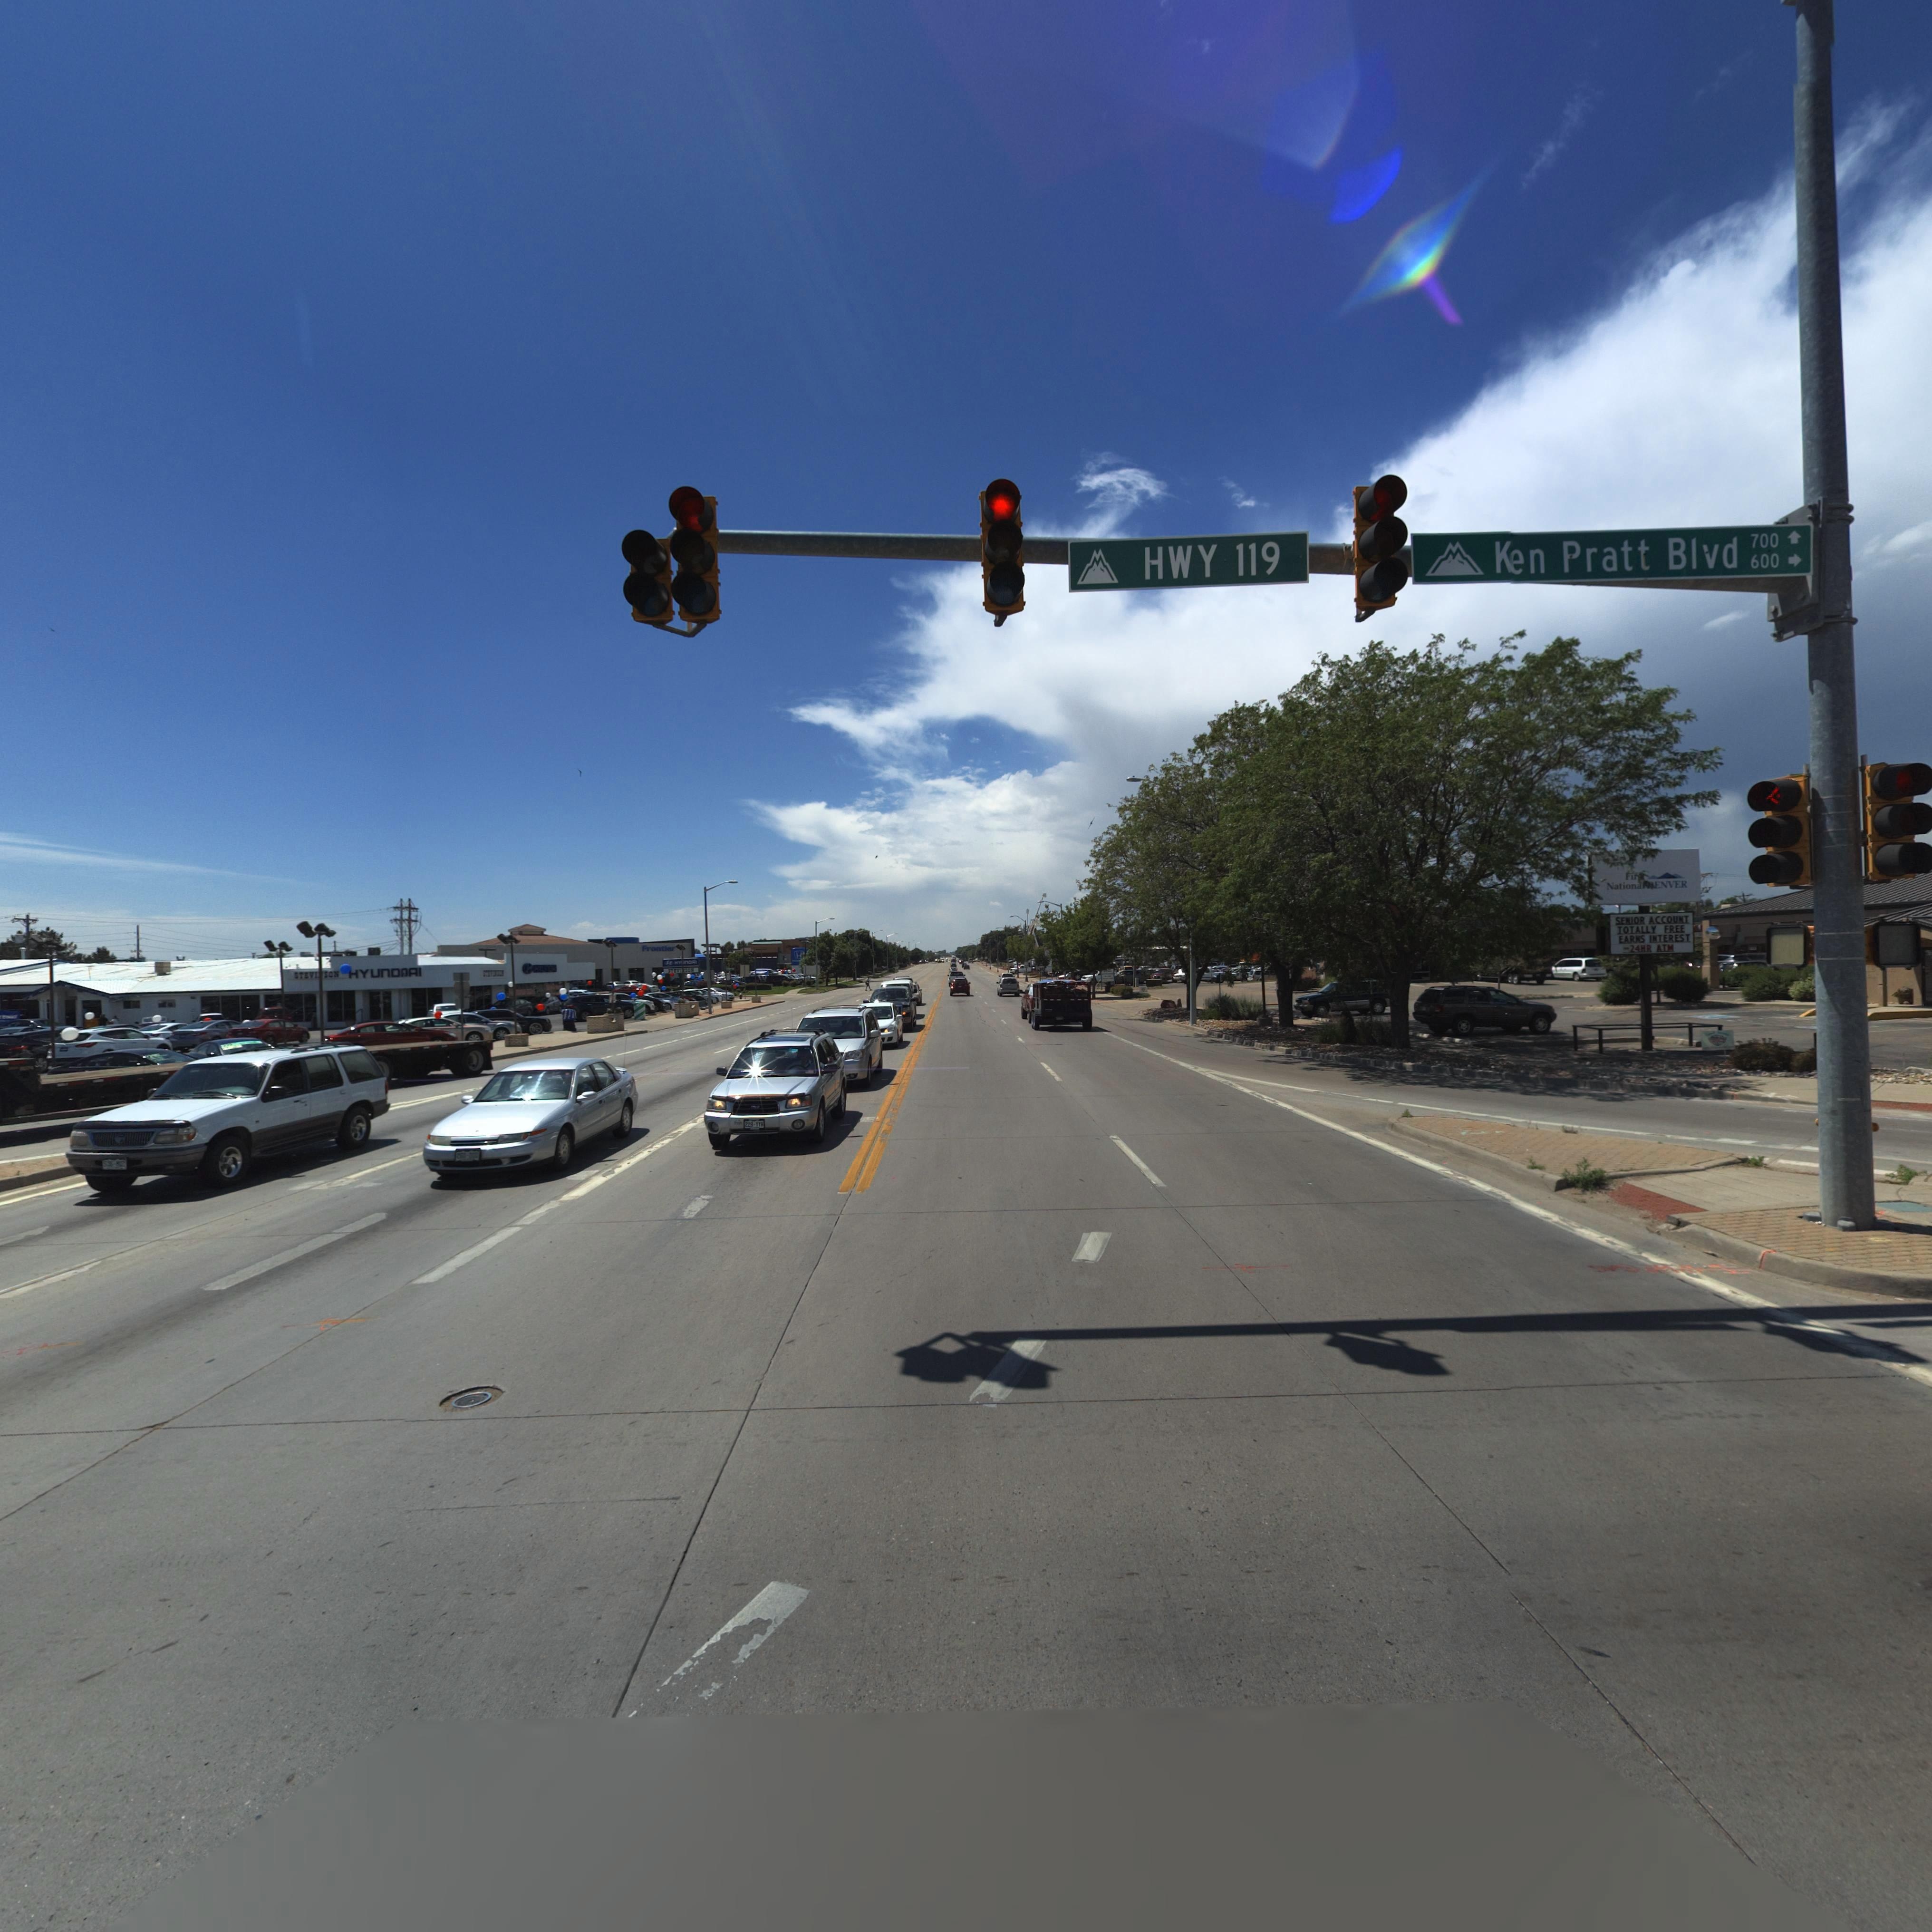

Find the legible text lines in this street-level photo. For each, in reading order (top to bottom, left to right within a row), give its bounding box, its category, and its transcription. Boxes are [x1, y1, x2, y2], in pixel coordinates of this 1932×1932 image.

[1750, 532, 1779, 548] StreetNumberRange: 700
[1144, 541, 1281, 580] StreetName: HWY 119
[1494, 537, 1738, 574] StreetName: Ken Pratt Blvd
[1750, 553, 1802, 569] StreetNumberRange: 600->
[1625, 872, 1639, 880] BusinessName: Fir
[1607, 880, 1687, 889] BusinessName: Nationa* *ENVER
[642, 945, 676, 951] BusinessName: Frontier
[674, 960, 697, 964] BusinessName: HY*NDAI
[294, 970, 339, 979] BusinessName: STEVI*SON
[348, 967, 422, 979] BusinessName: HYUNDAI
[483, 970, 504, 977] BusinessName: STEVINSON
[667, 968, 694, 973] BusinessName: STEVI*SON